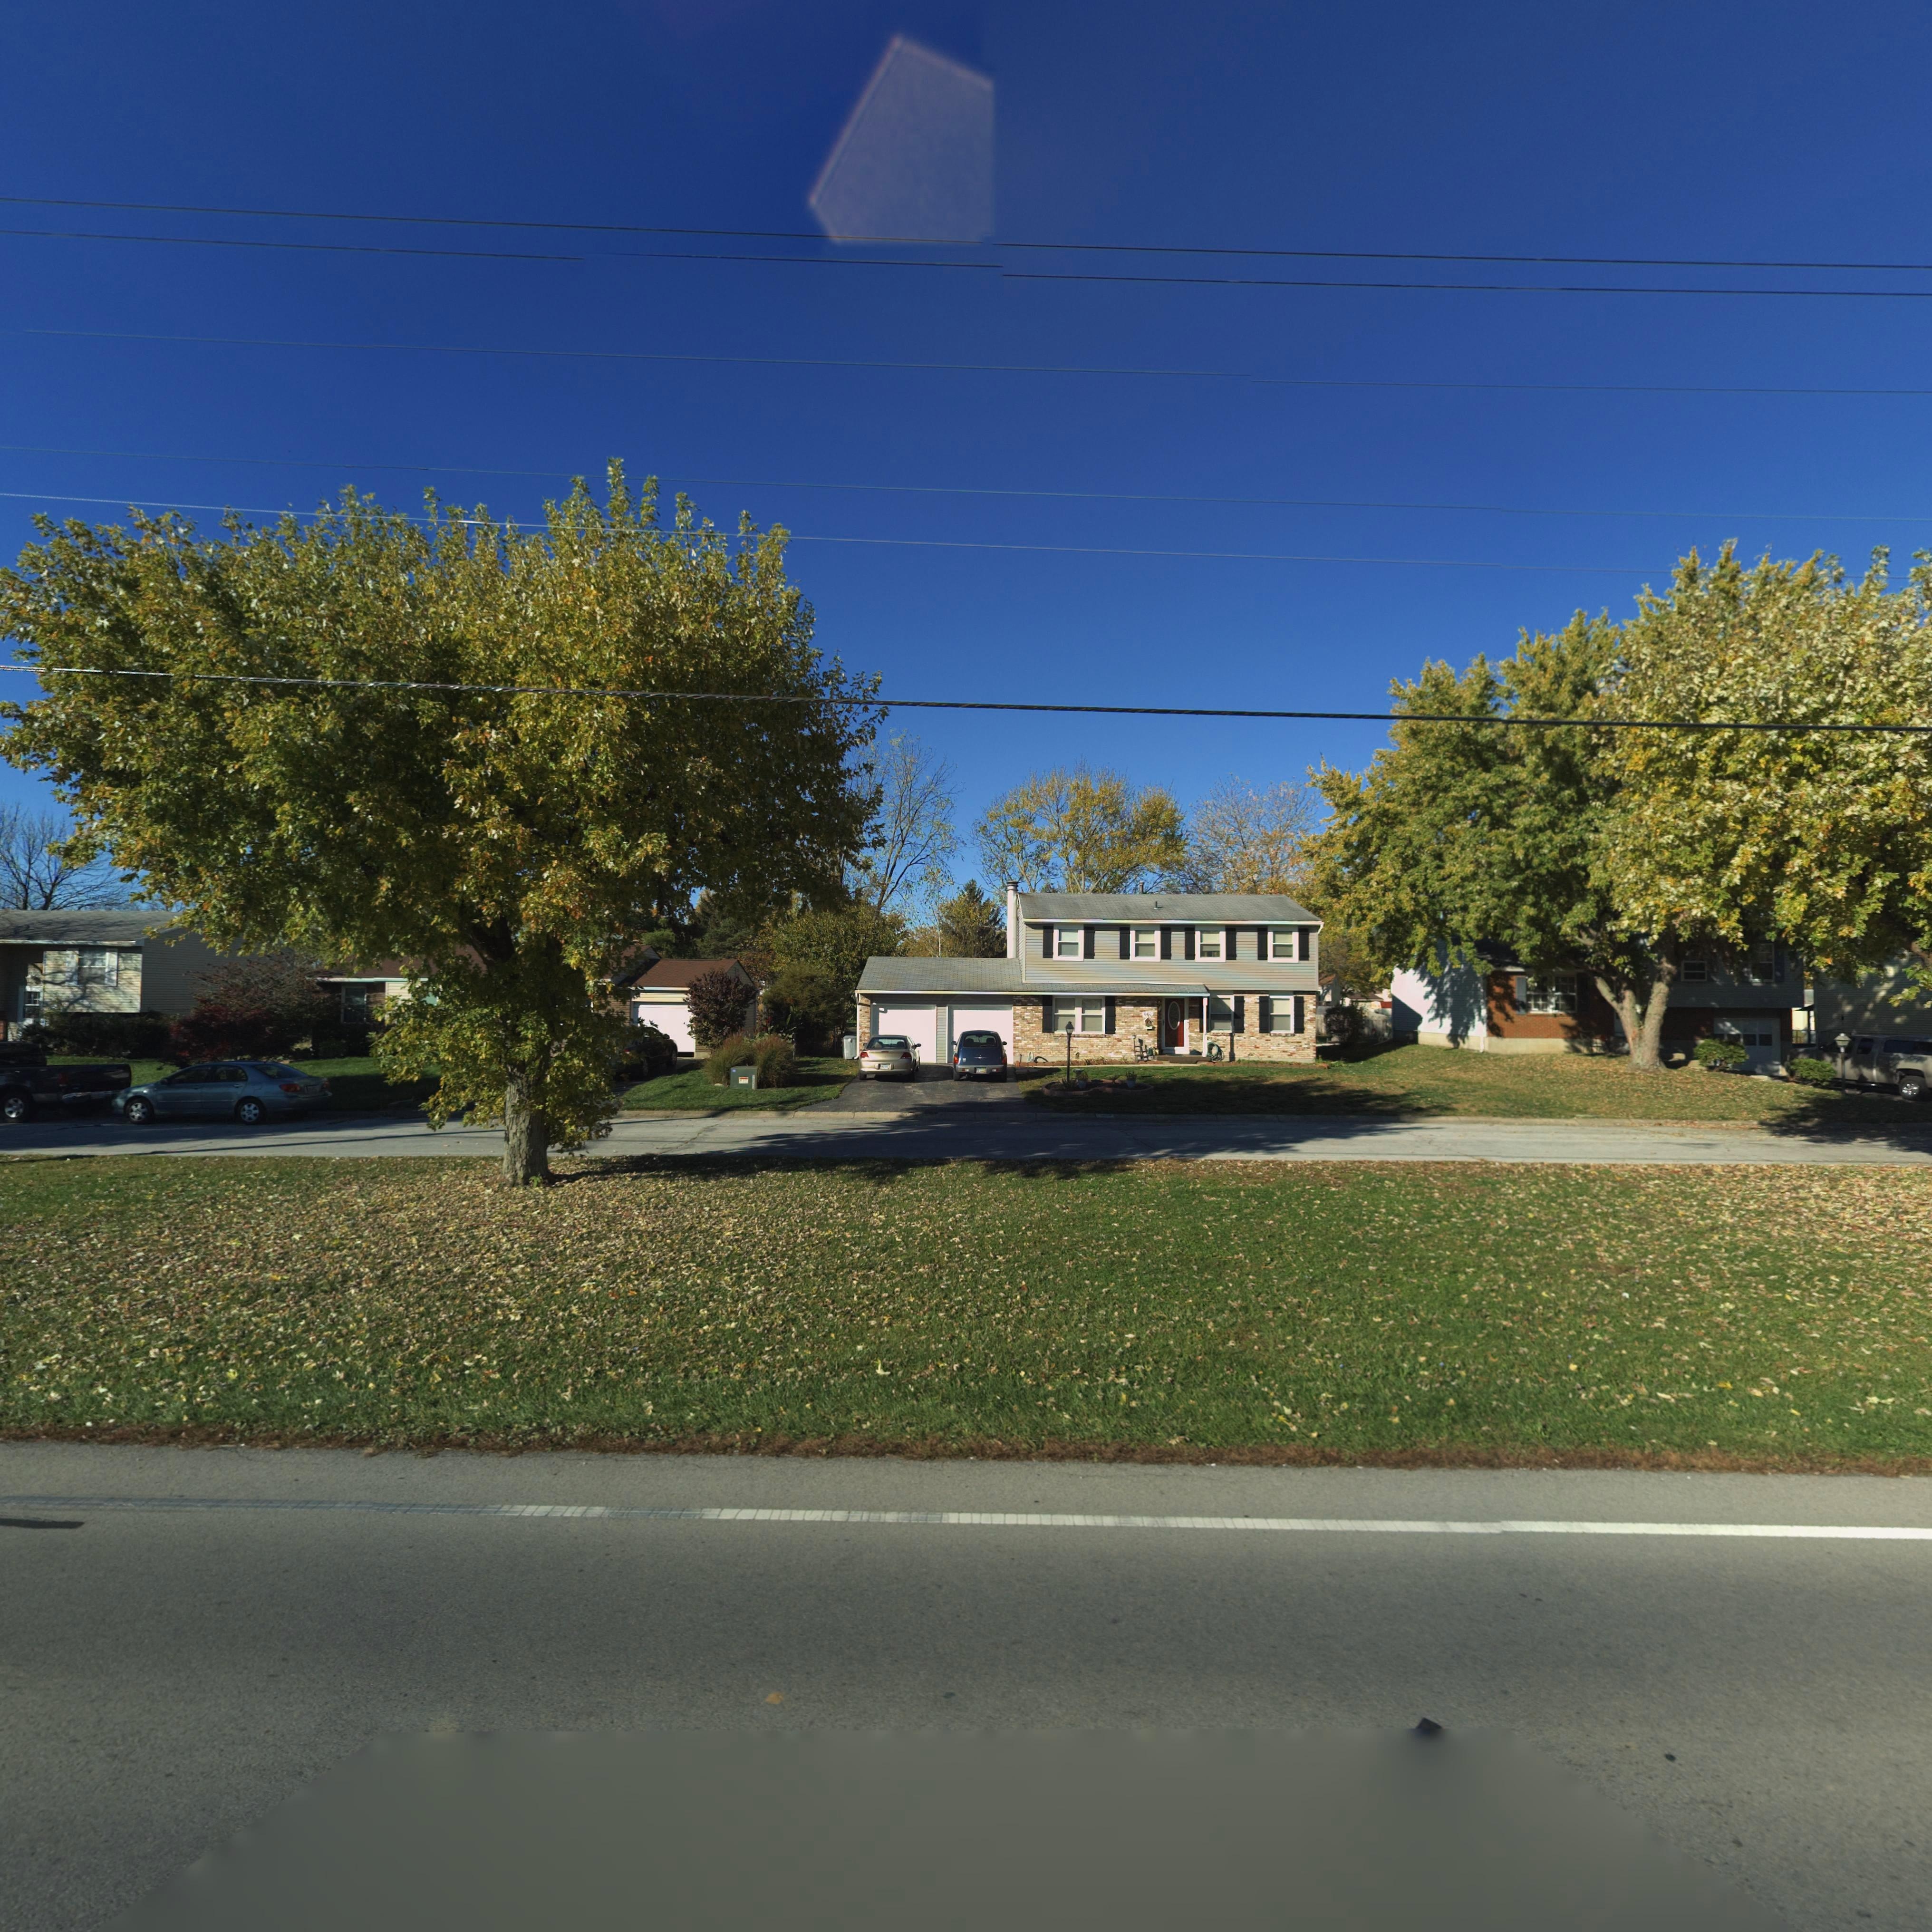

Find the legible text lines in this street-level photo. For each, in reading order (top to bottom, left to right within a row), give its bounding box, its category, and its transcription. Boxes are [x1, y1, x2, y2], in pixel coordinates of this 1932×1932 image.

[1144, 1011, 1152, 1017] StreetNumber: 6**